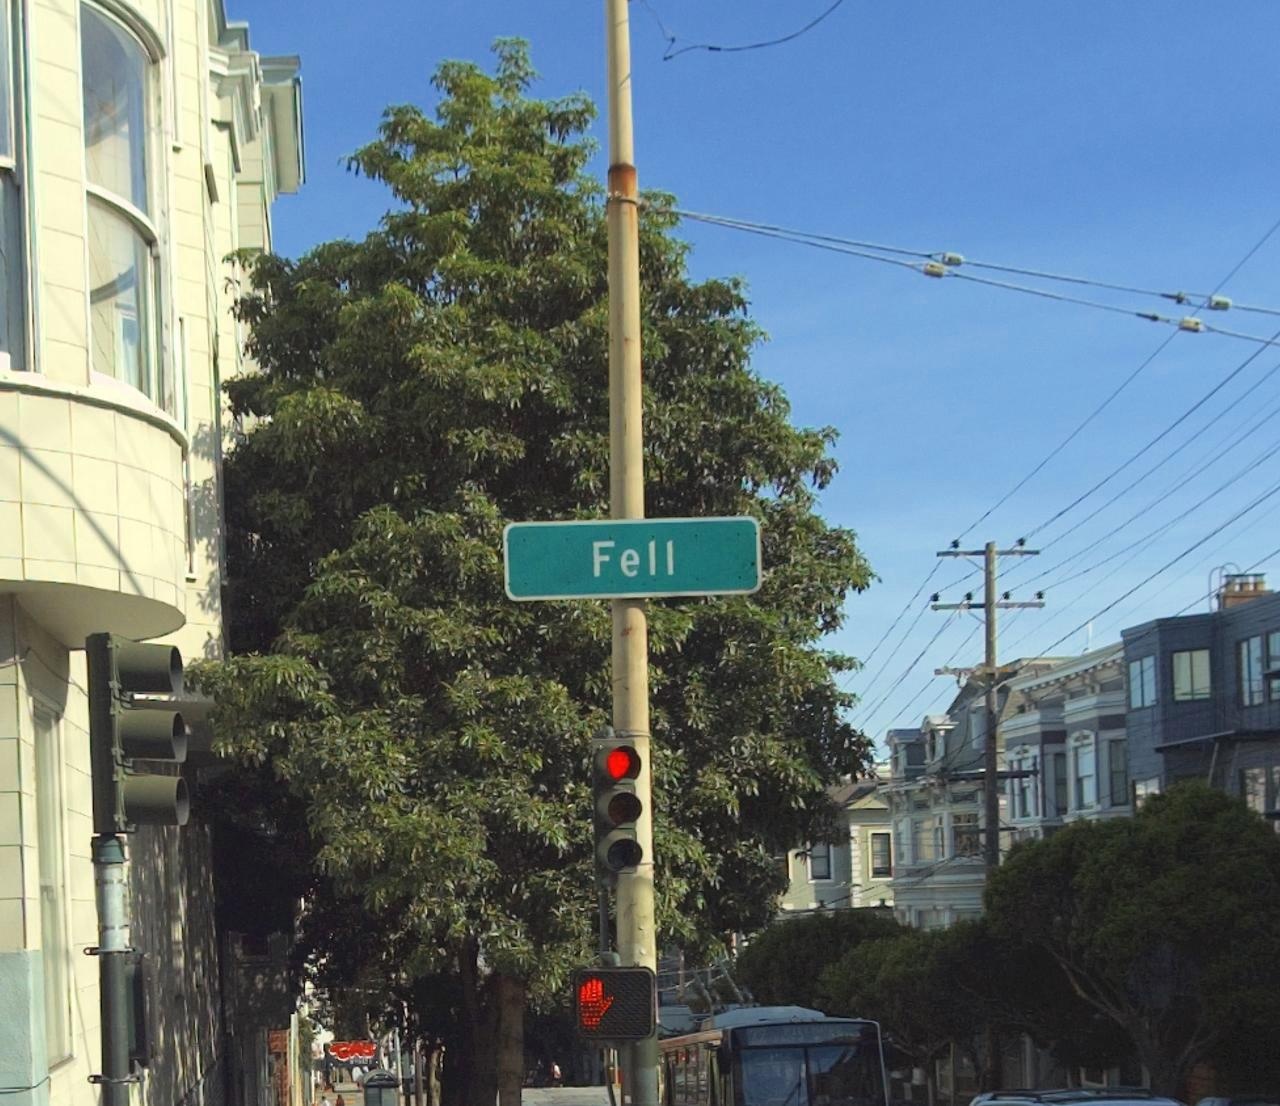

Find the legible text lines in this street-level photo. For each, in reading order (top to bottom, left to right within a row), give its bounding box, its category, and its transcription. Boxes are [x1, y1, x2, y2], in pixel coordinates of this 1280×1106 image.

[586, 537, 676, 578] StreetName: Fell